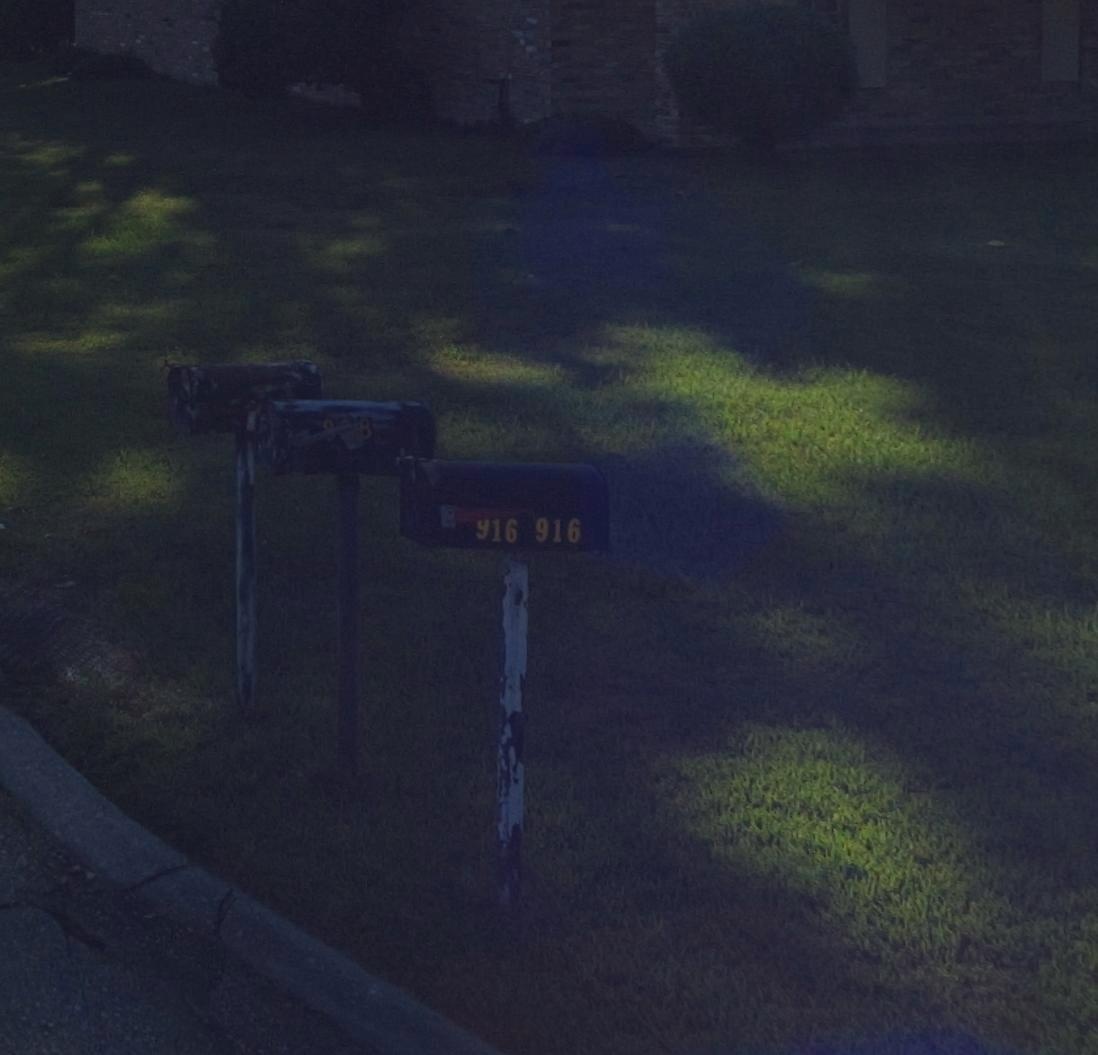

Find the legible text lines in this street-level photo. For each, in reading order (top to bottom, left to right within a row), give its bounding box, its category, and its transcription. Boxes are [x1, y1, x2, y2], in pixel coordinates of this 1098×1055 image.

[474, 516, 519, 544] StreetNumber: 916
[534, 517, 582, 544] StreetNumber: 916